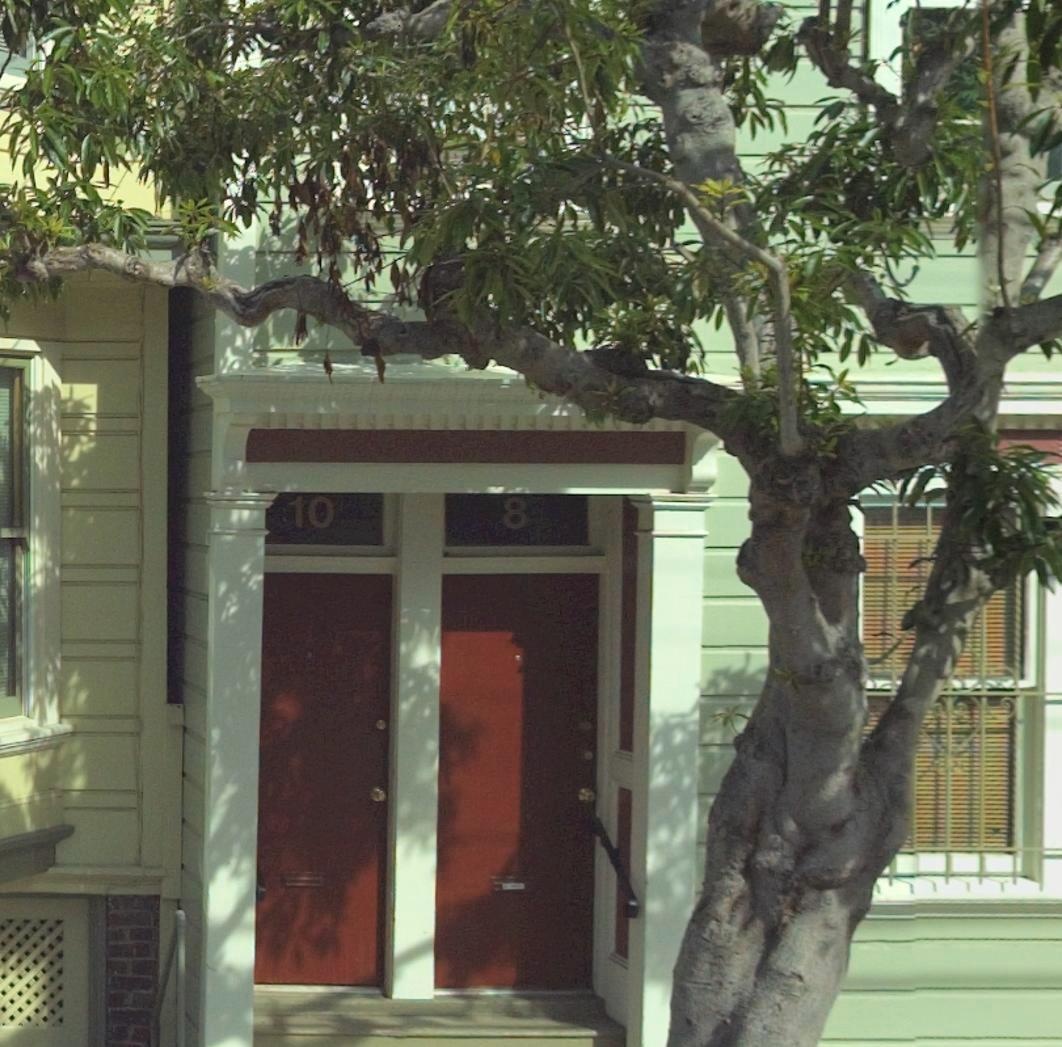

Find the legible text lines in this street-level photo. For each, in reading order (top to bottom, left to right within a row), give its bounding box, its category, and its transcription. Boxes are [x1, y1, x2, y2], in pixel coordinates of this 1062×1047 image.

[286, 494, 336, 531] StreetNumber: 10
[499, 495, 531, 532] StreetNumber: 8